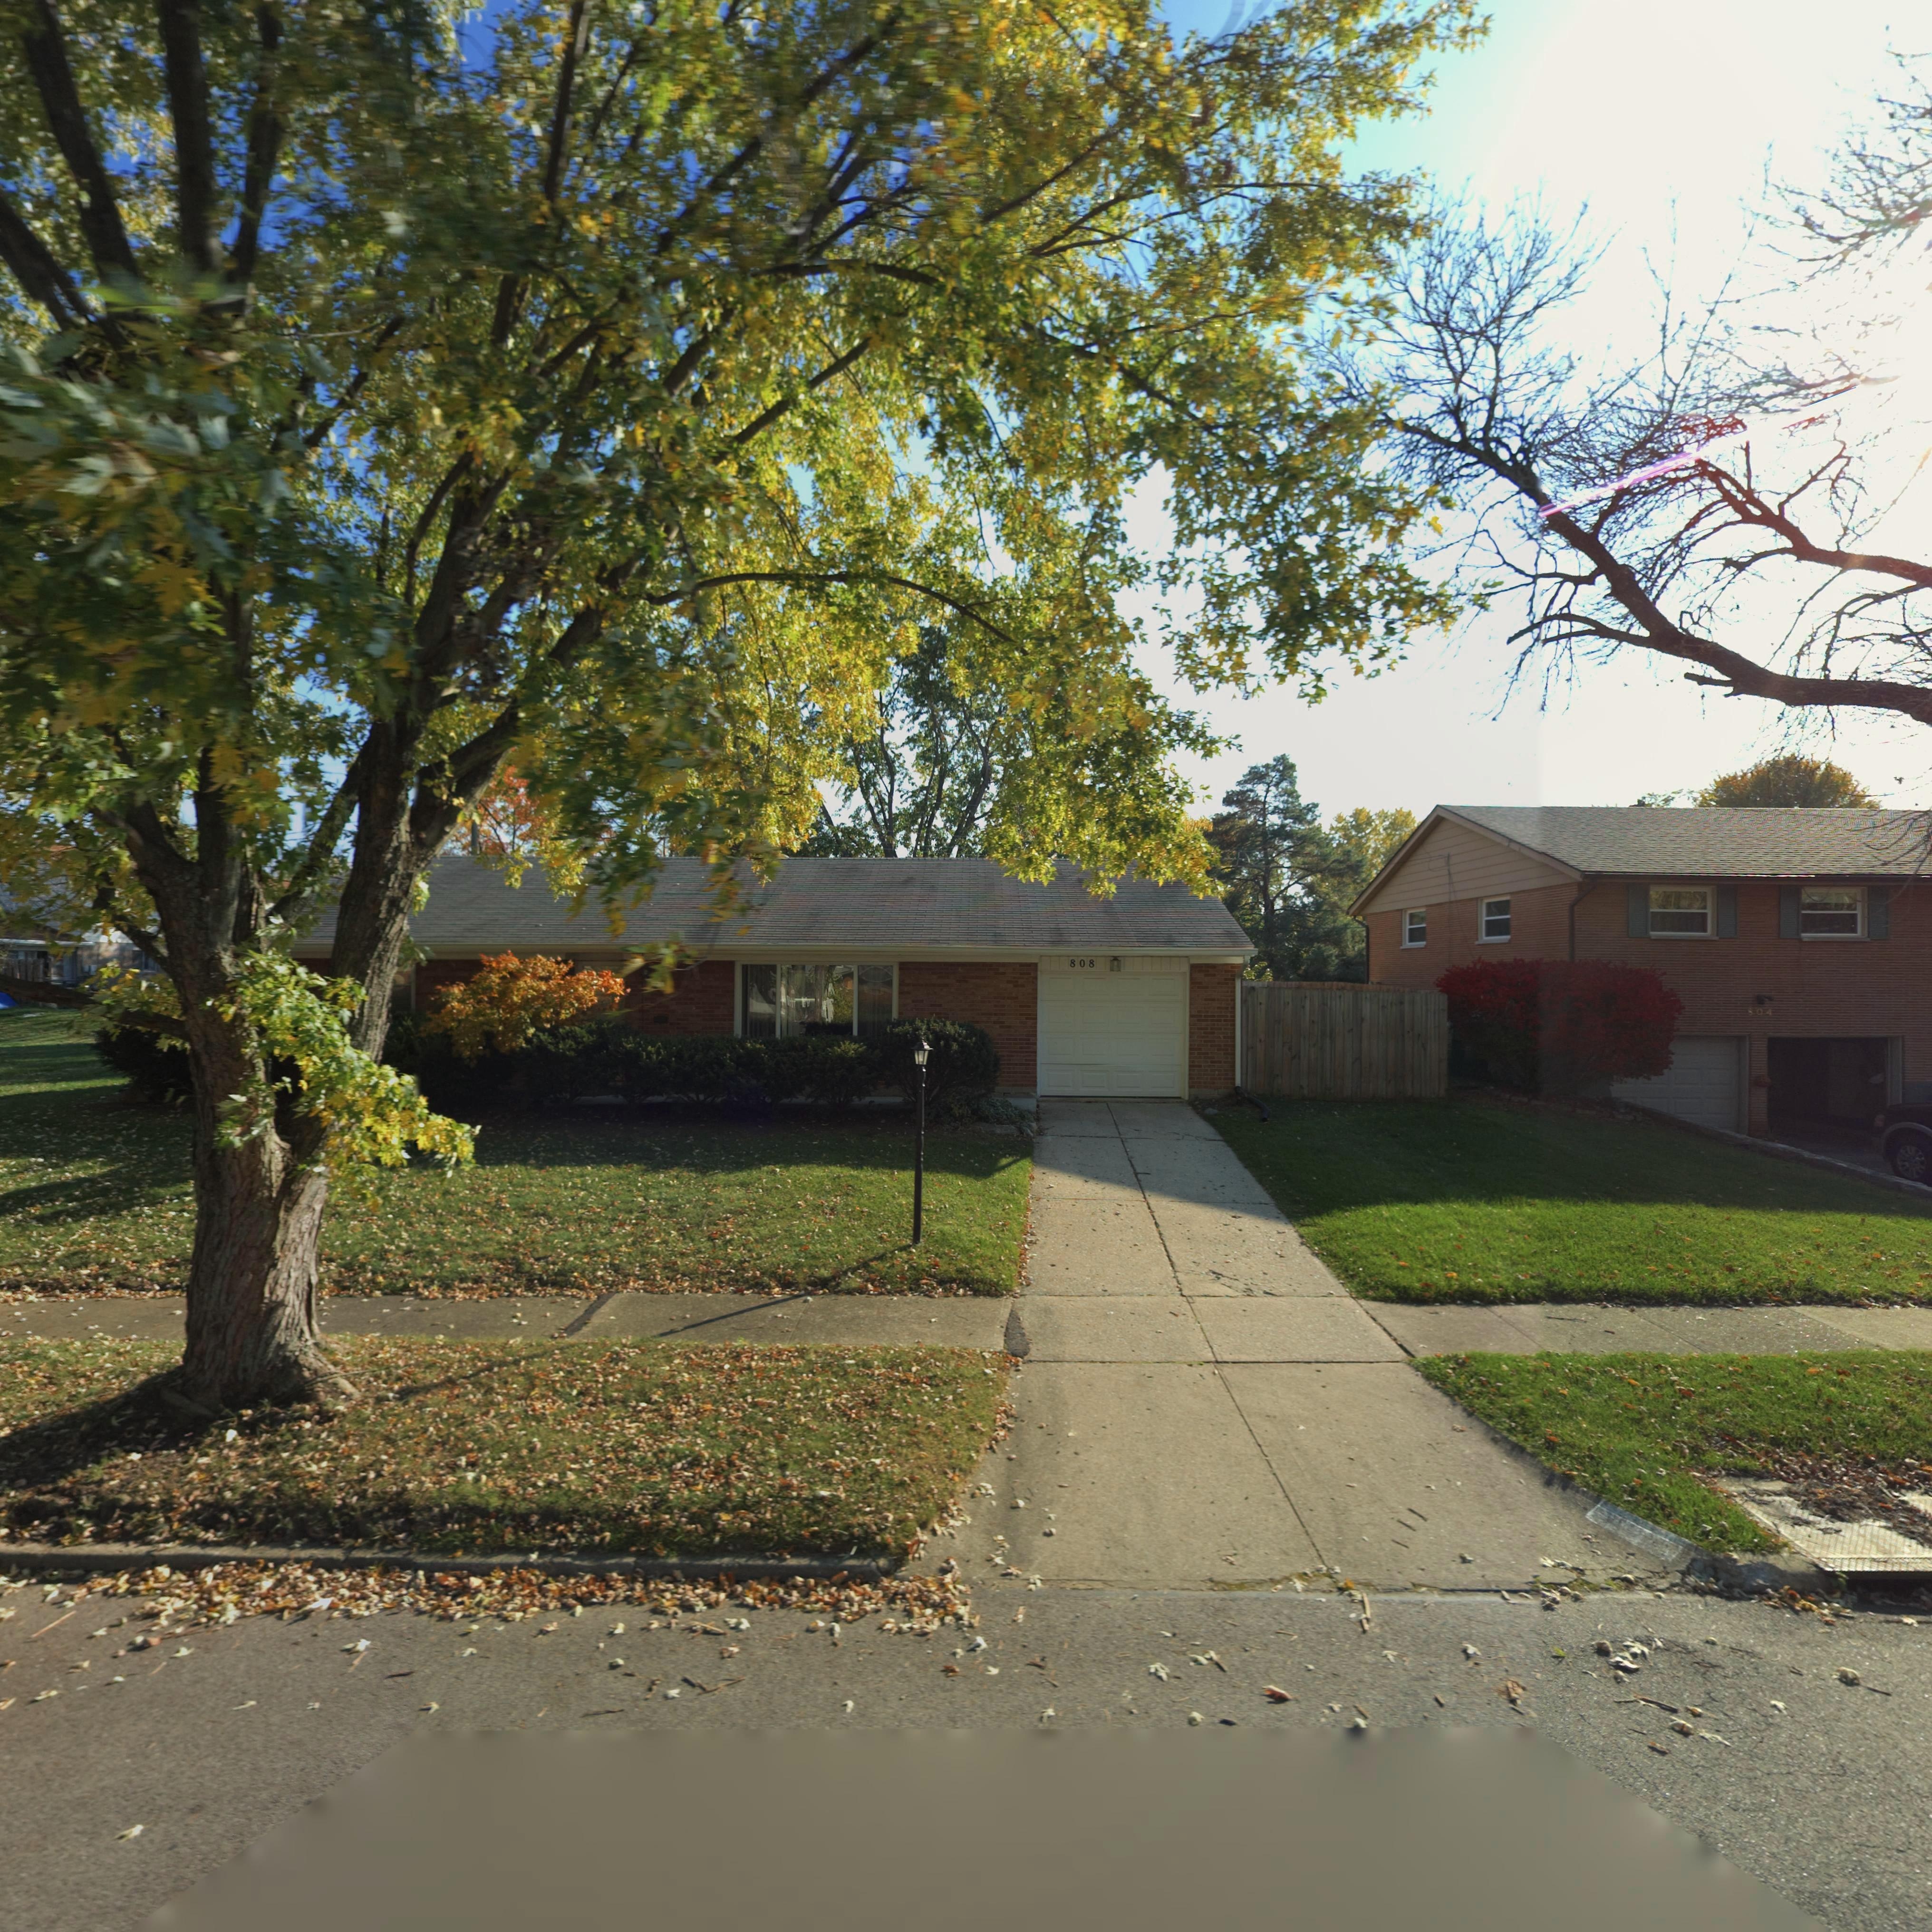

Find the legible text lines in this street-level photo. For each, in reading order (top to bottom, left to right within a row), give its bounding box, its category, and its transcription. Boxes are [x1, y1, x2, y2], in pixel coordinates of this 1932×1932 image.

[1069, 958, 1096, 968] StreetNumber: 808
[1747, 1007, 1773, 1016] StreetNumber: 804